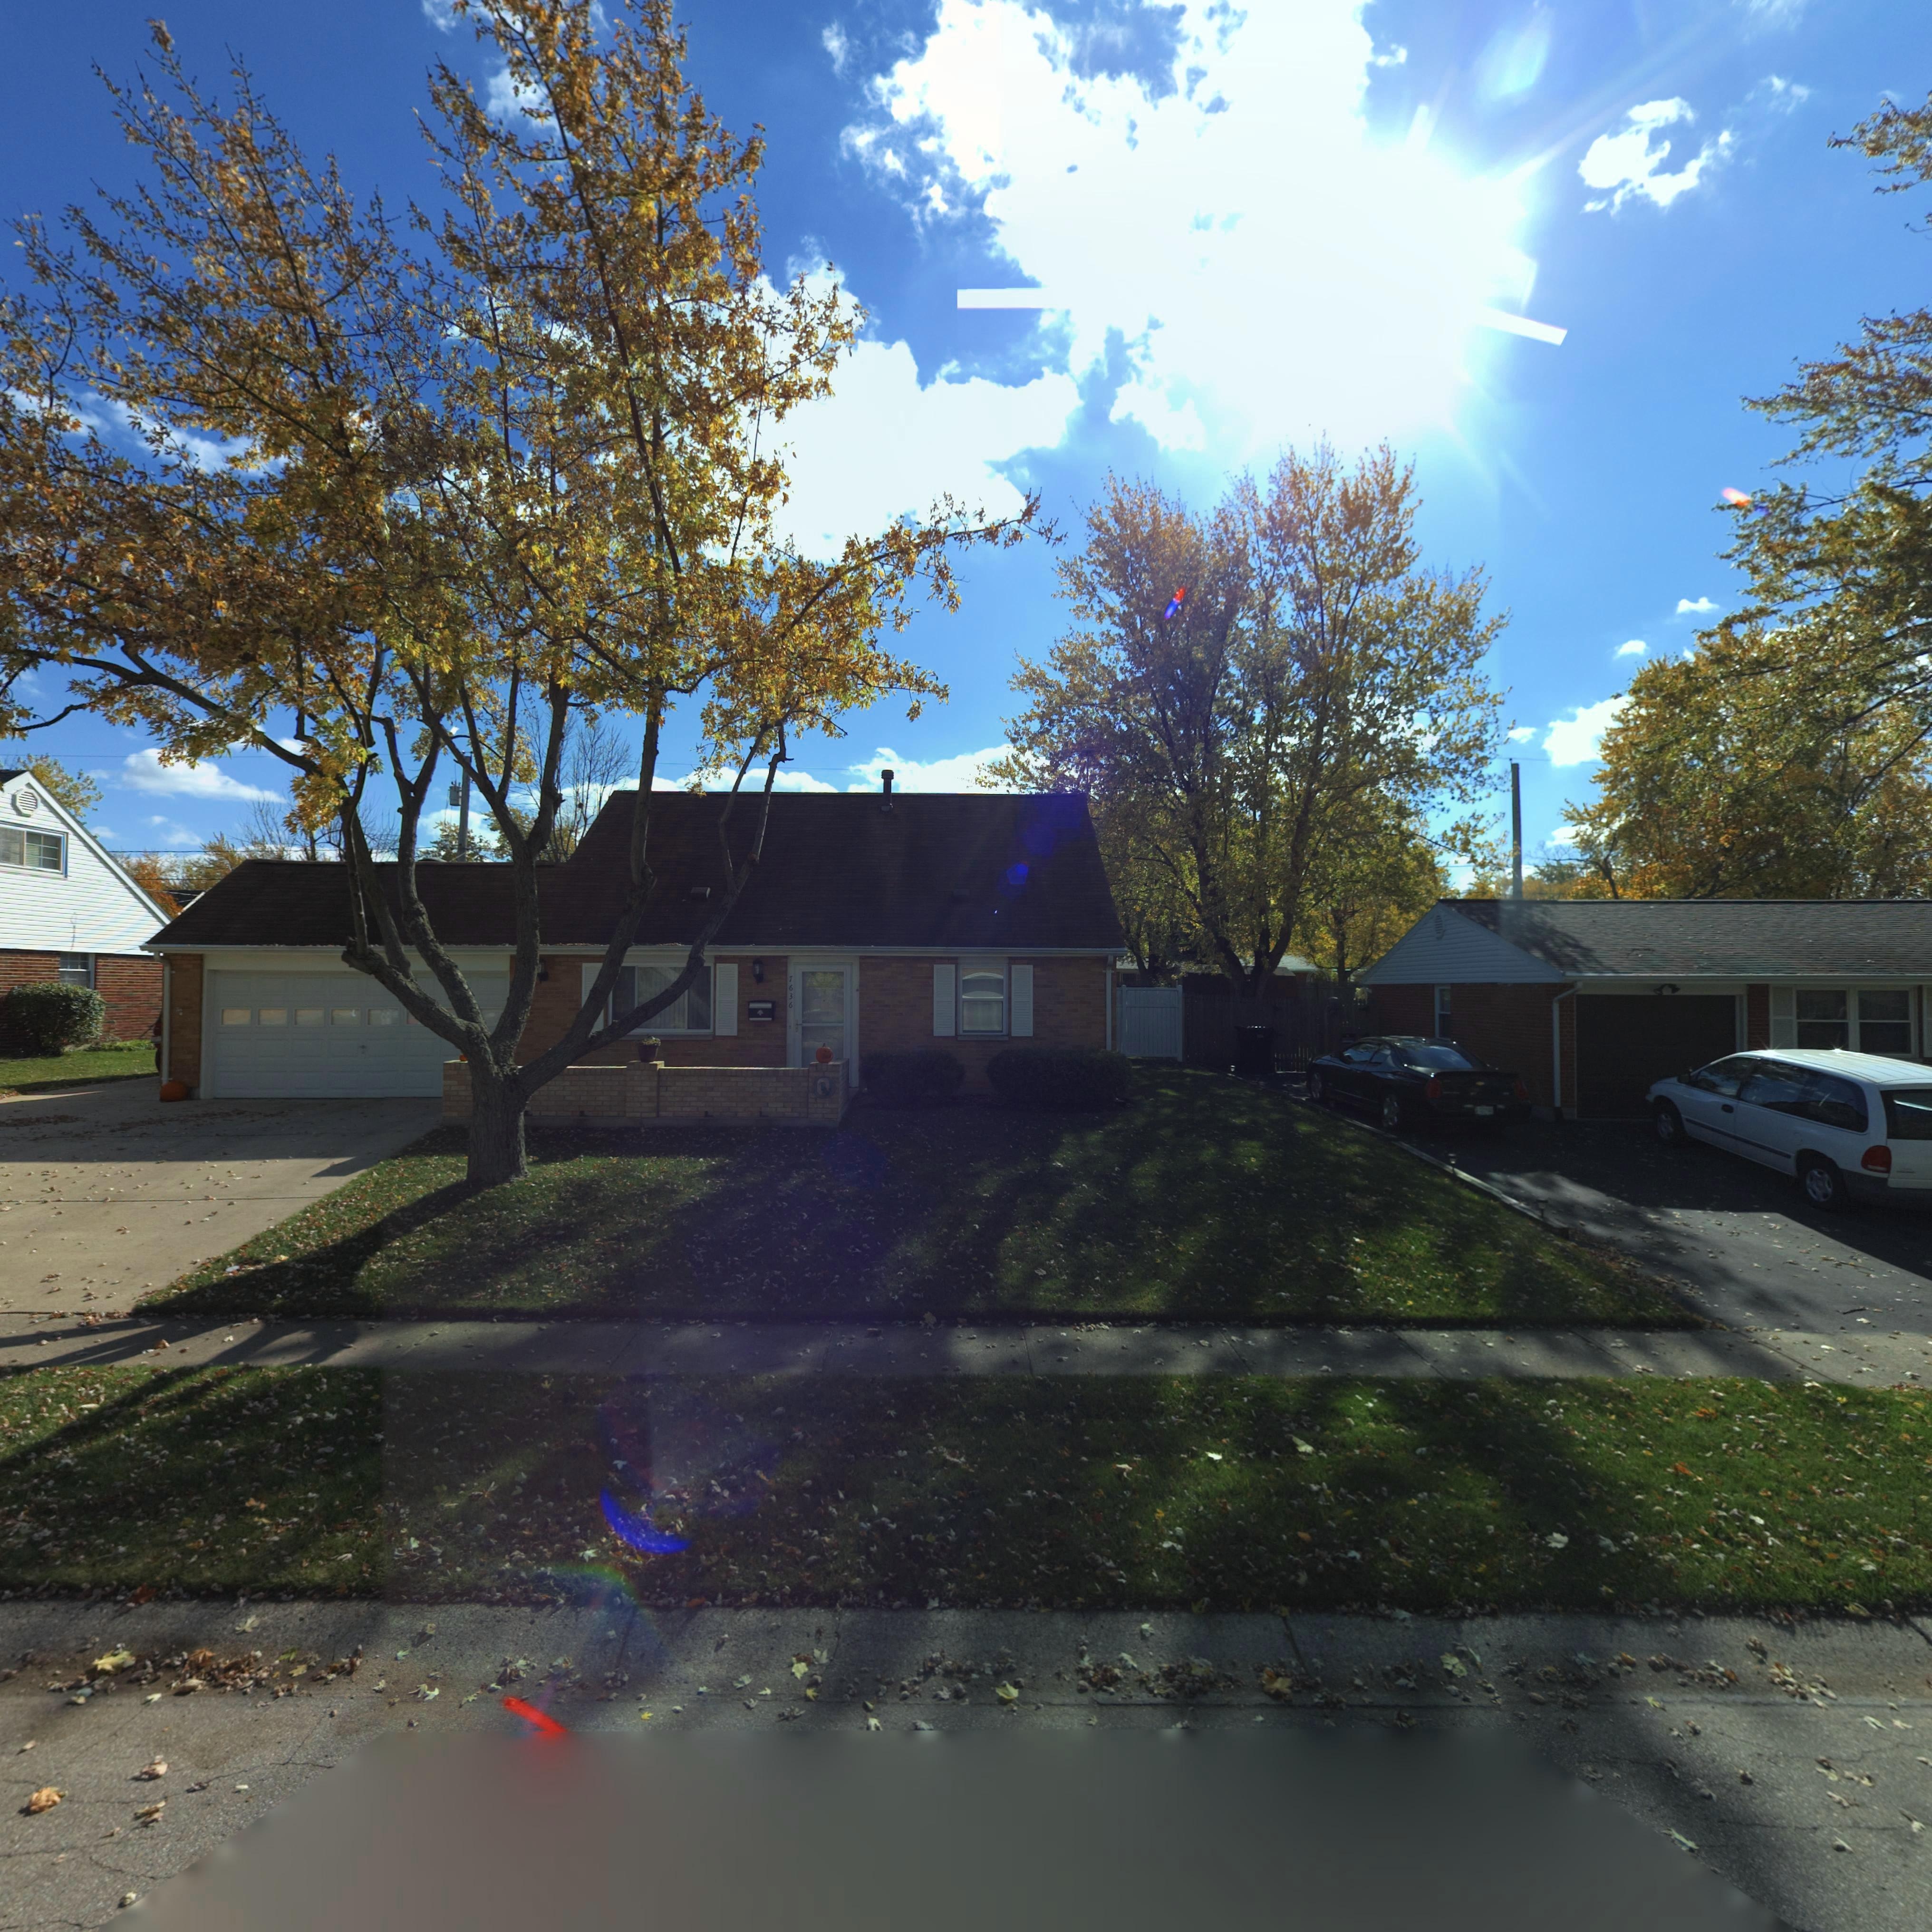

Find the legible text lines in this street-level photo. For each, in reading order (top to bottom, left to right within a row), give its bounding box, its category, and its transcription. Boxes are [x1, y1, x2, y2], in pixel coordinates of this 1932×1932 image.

[789, 975, 793, 1008] StreetNumber: 7636